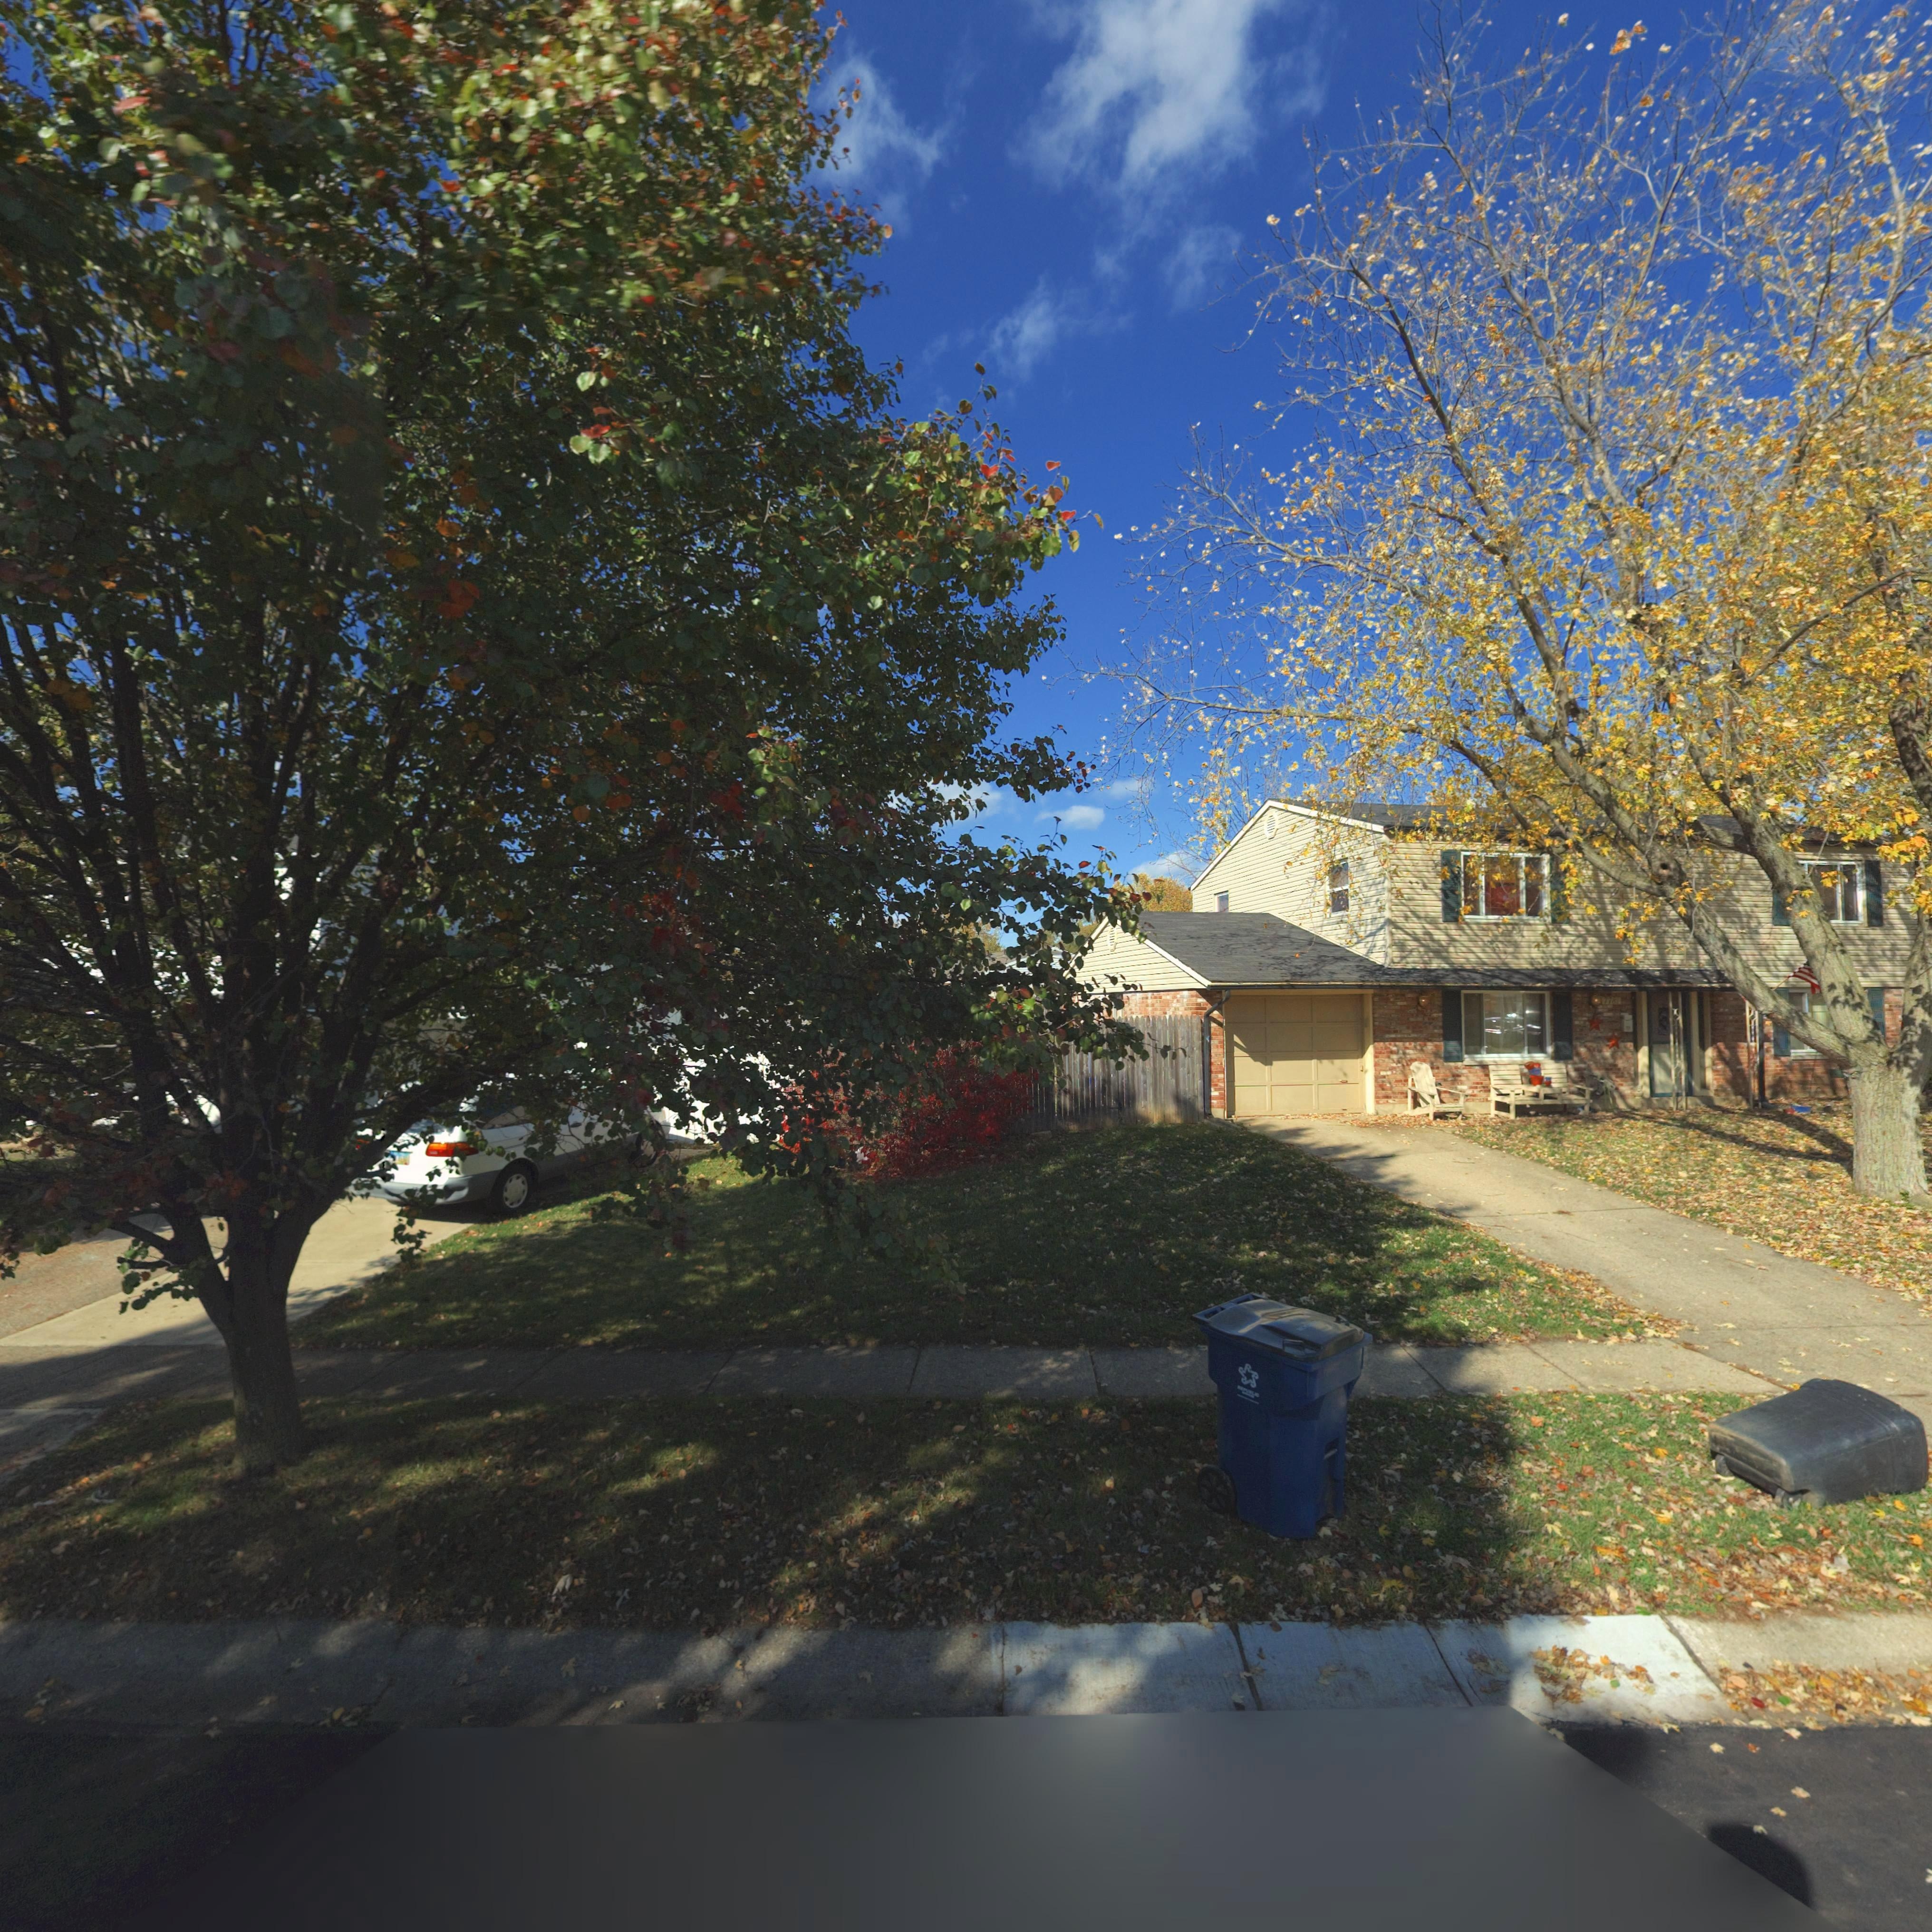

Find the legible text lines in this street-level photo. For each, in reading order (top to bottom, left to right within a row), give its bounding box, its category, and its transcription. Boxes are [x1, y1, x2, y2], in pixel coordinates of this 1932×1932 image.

[1603, 996, 1621, 1005] StreetNumber: 7781